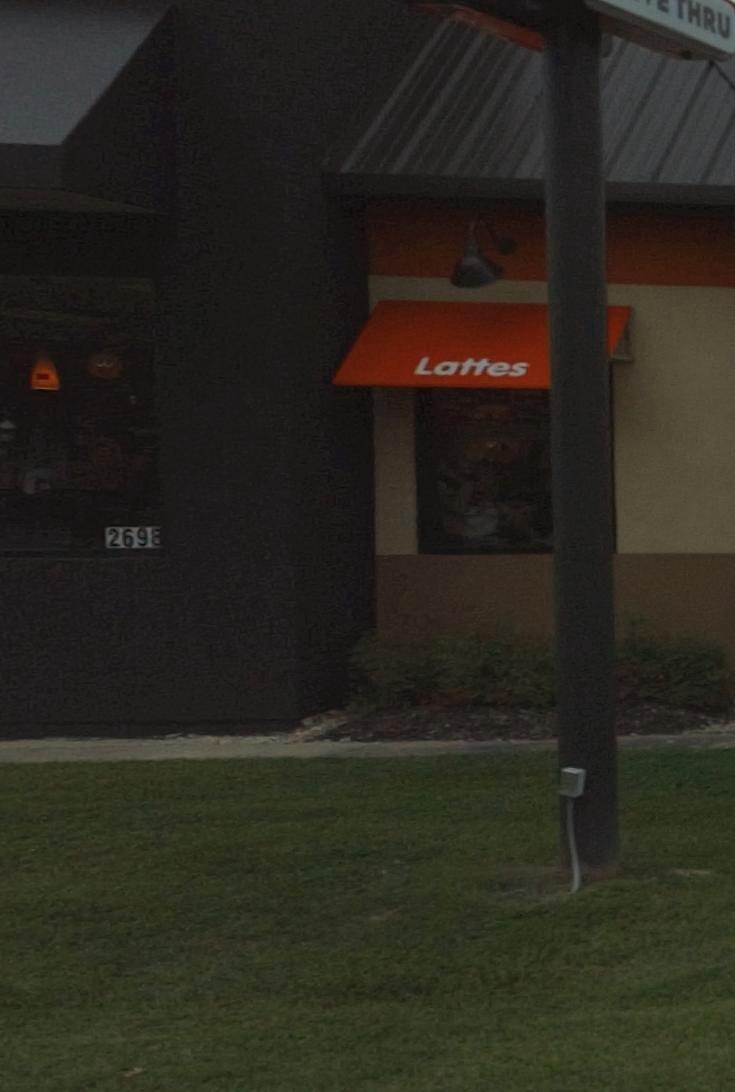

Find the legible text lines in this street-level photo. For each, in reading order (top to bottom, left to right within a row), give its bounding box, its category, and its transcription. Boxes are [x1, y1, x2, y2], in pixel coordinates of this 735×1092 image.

[410, 354, 532, 377] None: Lattes
[106, 528, 162, 548] StreetNumber: 2698